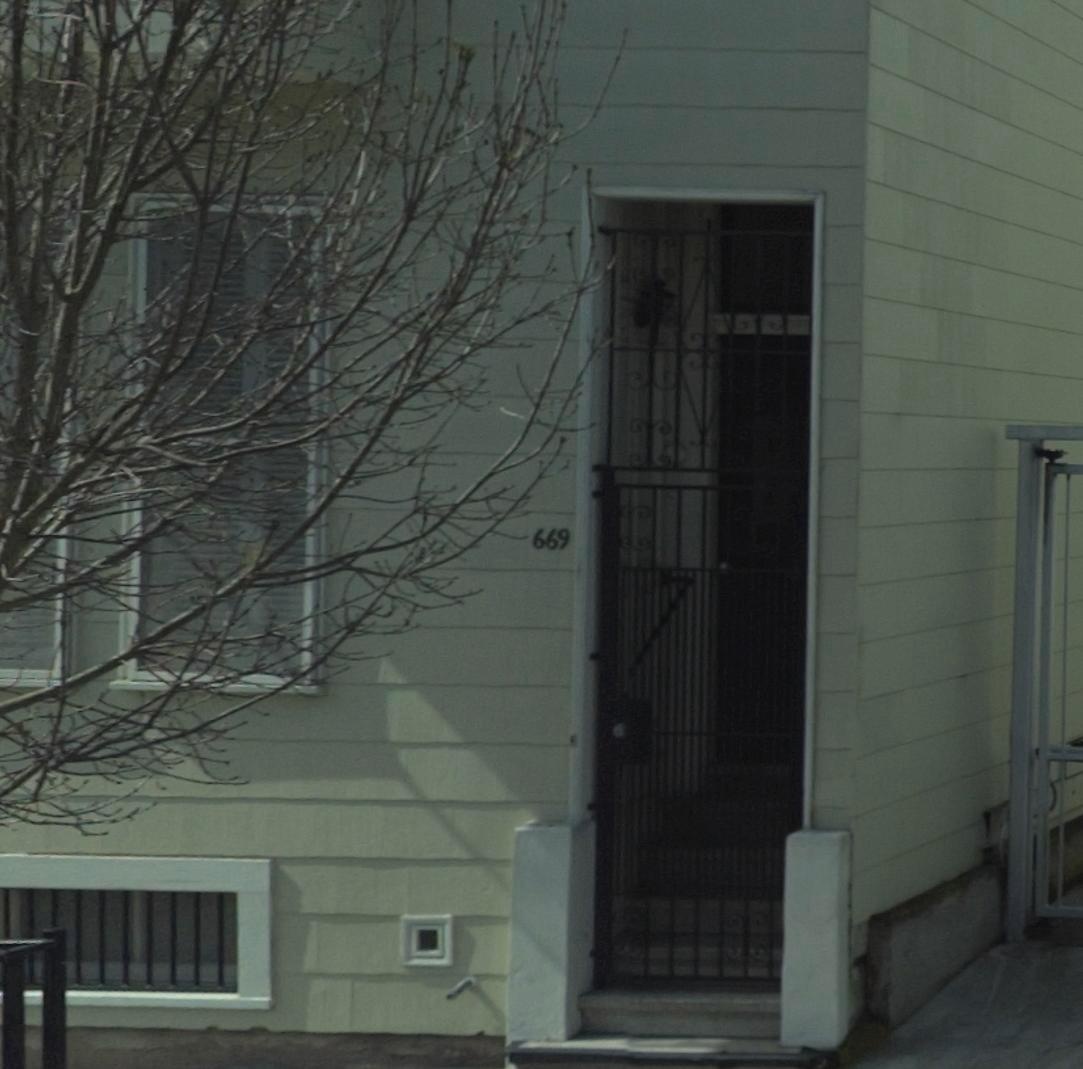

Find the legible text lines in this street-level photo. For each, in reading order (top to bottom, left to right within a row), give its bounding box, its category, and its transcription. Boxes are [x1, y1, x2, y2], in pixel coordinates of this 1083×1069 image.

[528, 525, 575, 553] StreetNumber: 669